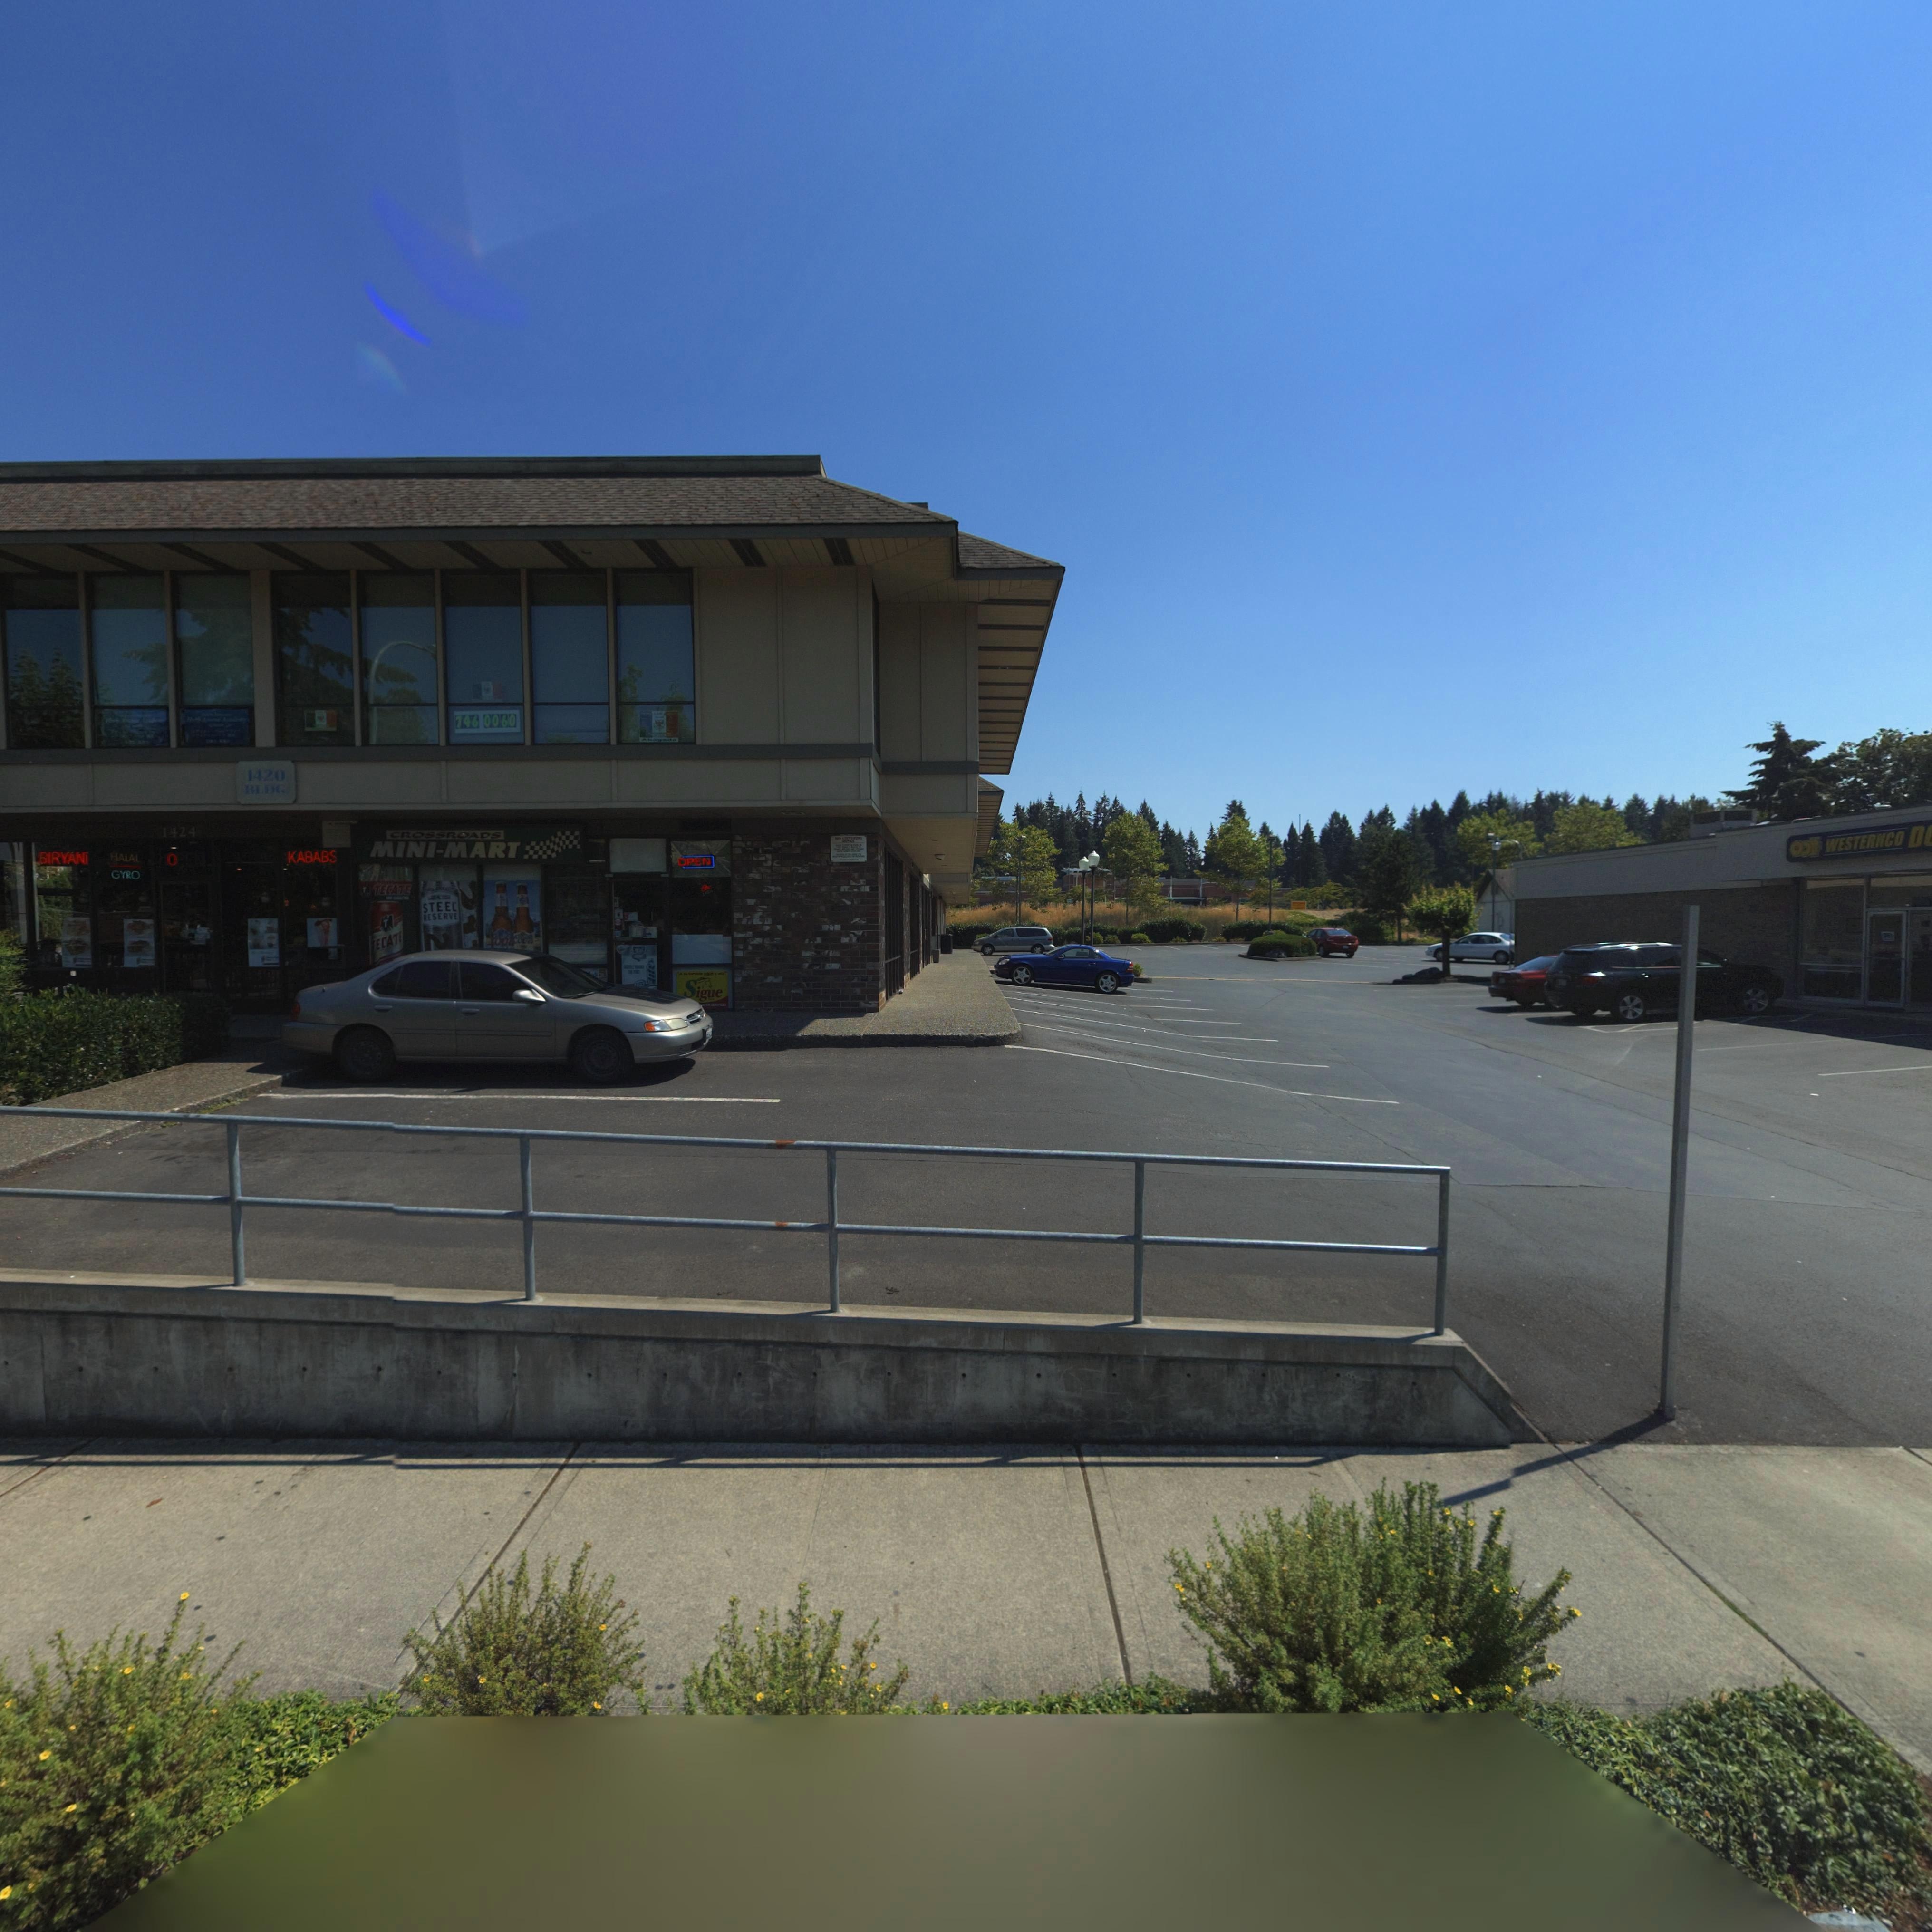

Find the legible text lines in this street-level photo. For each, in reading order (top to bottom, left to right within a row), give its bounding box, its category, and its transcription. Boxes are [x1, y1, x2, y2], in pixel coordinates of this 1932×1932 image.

[247, 768, 285, 782] StreetNumber: 1420
[162, 824, 196, 838] StreetNumber: 1424
[369, 840, 522, 858] BusinessName: MINI-MART
[389, 830, 503, 839] BusinessName: CROSSROADS
[1826, 829, 1906, 852] BusinessName: WESTERNCO
[1907, 824, 1925, 848] BusinessName: D